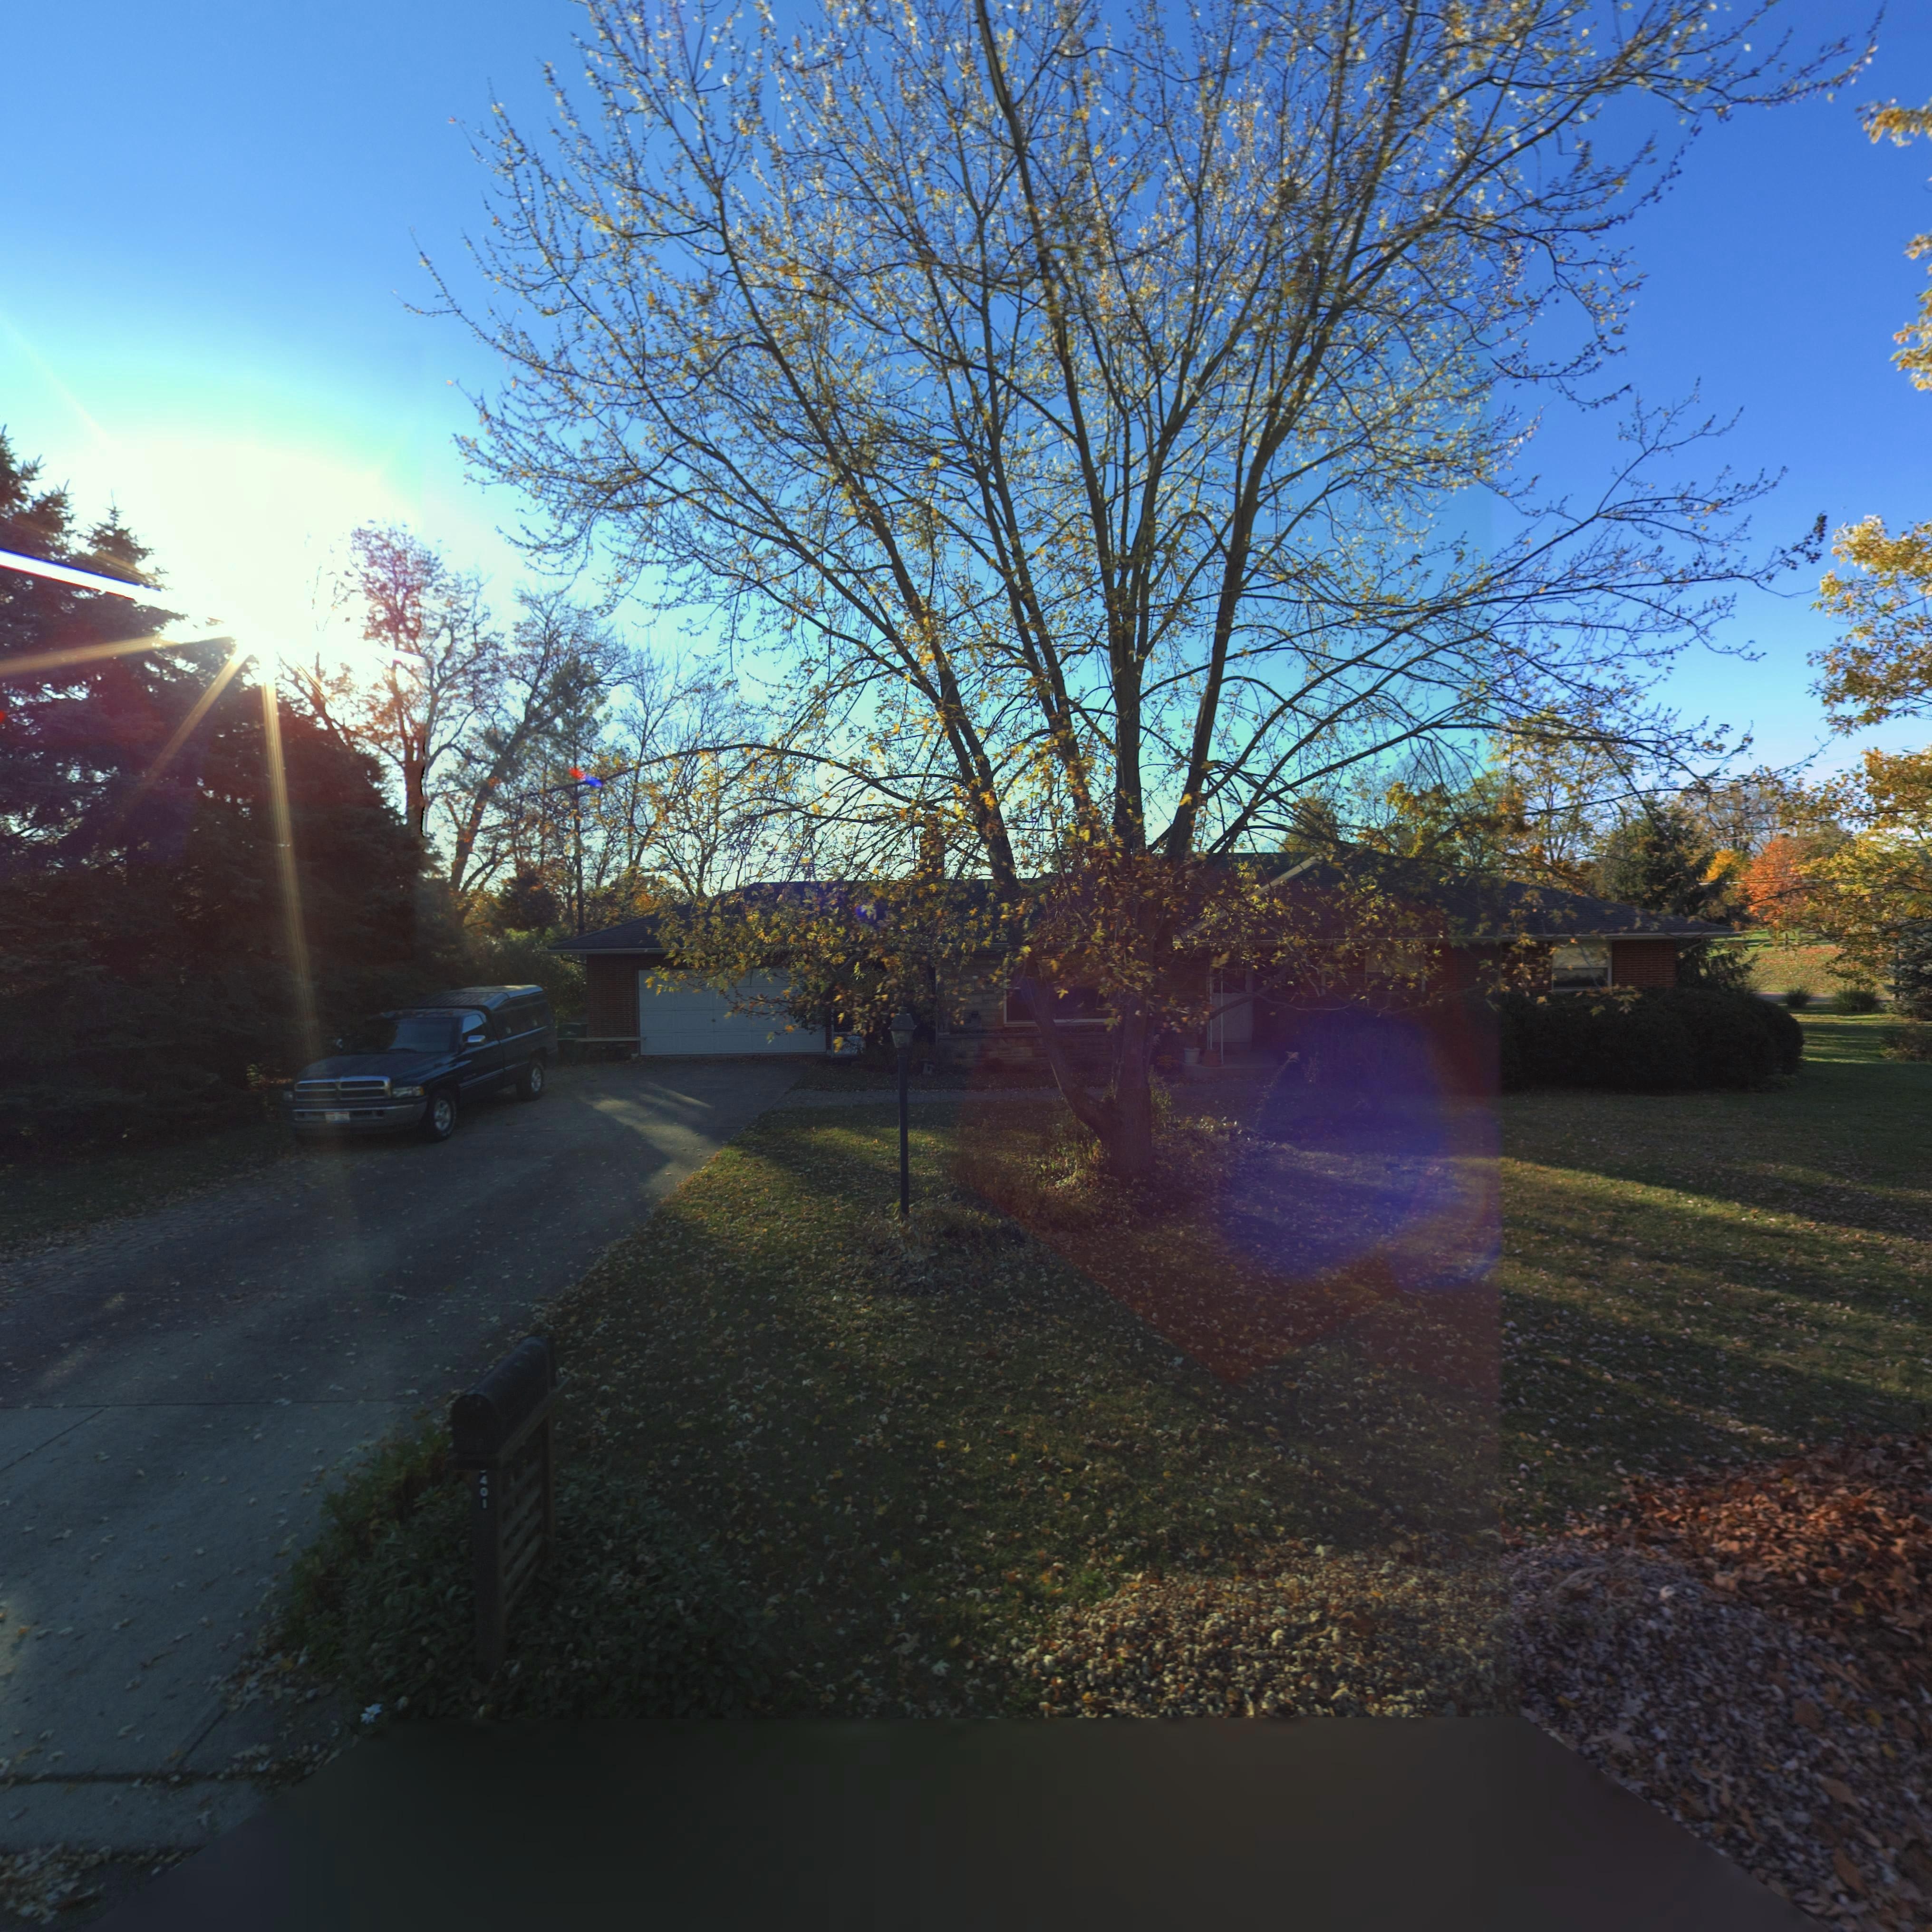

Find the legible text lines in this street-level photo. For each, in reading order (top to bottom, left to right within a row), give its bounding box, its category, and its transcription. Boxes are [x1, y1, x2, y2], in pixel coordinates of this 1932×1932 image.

[478, 1473, 490, 1512] StreetNumber: 401